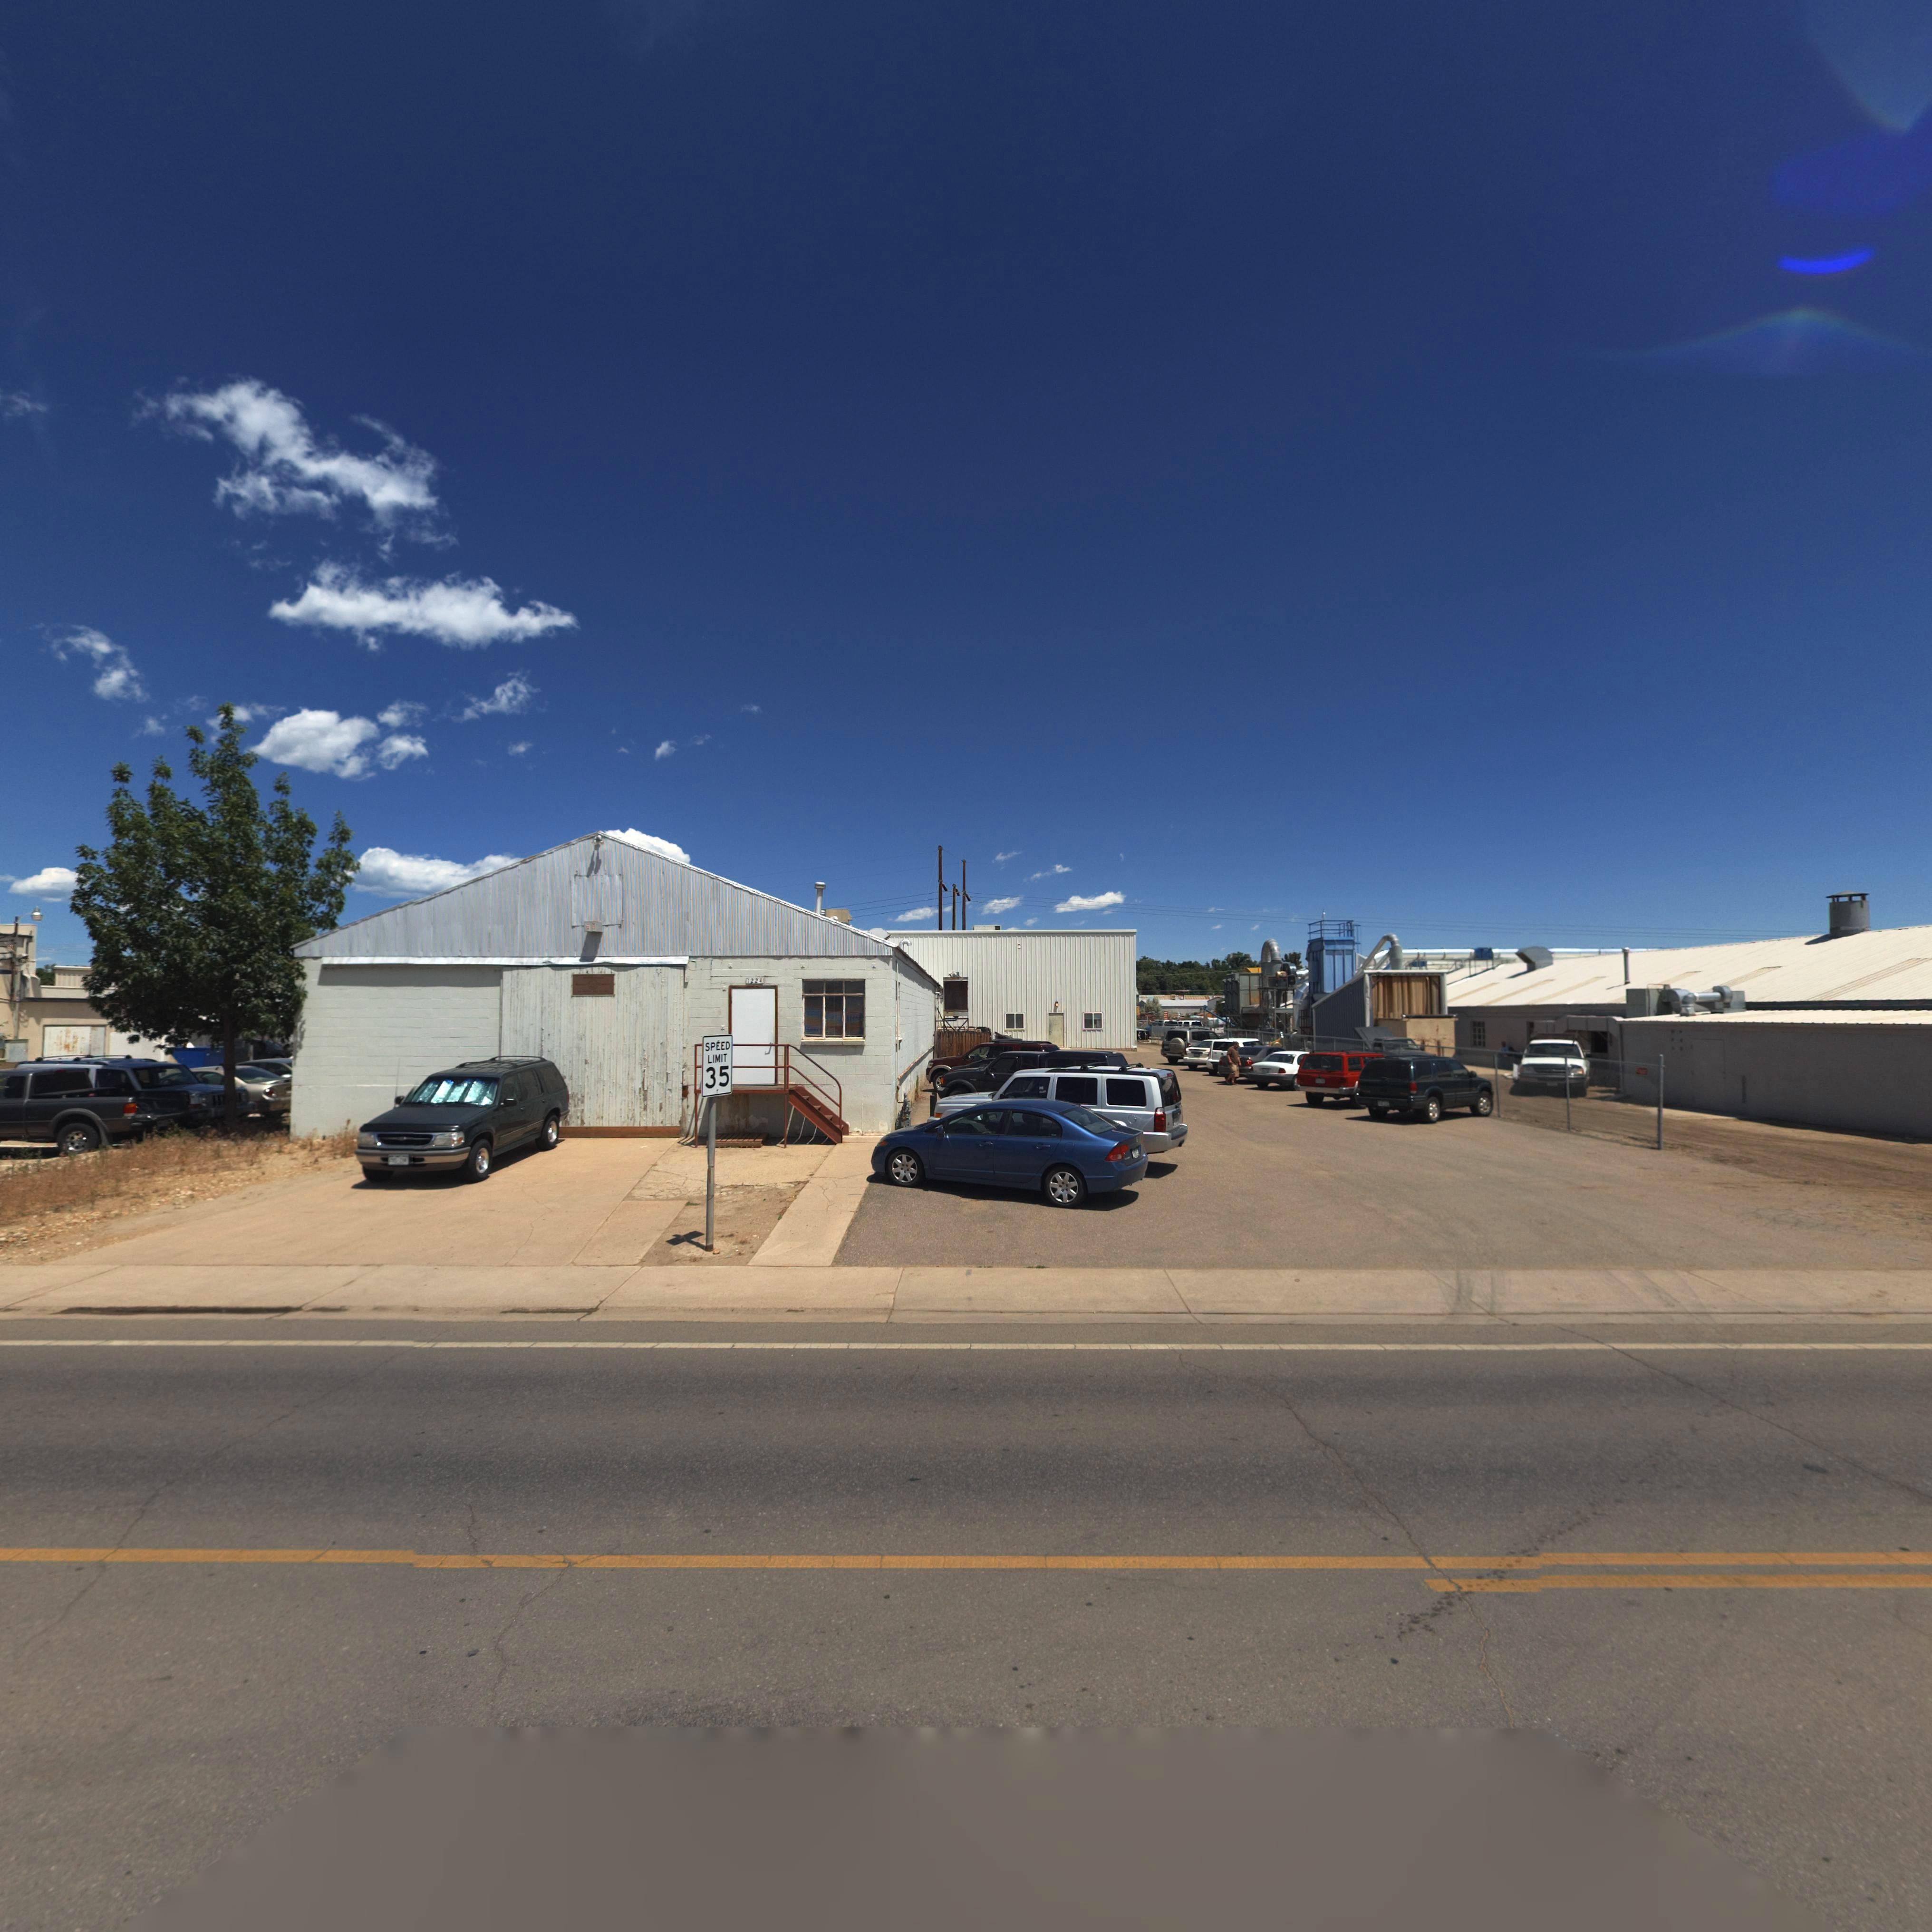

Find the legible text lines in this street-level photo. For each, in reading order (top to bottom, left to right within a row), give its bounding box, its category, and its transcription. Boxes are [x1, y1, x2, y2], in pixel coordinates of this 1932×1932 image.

[746, 977, 762, 984] StreetNumber: 1224